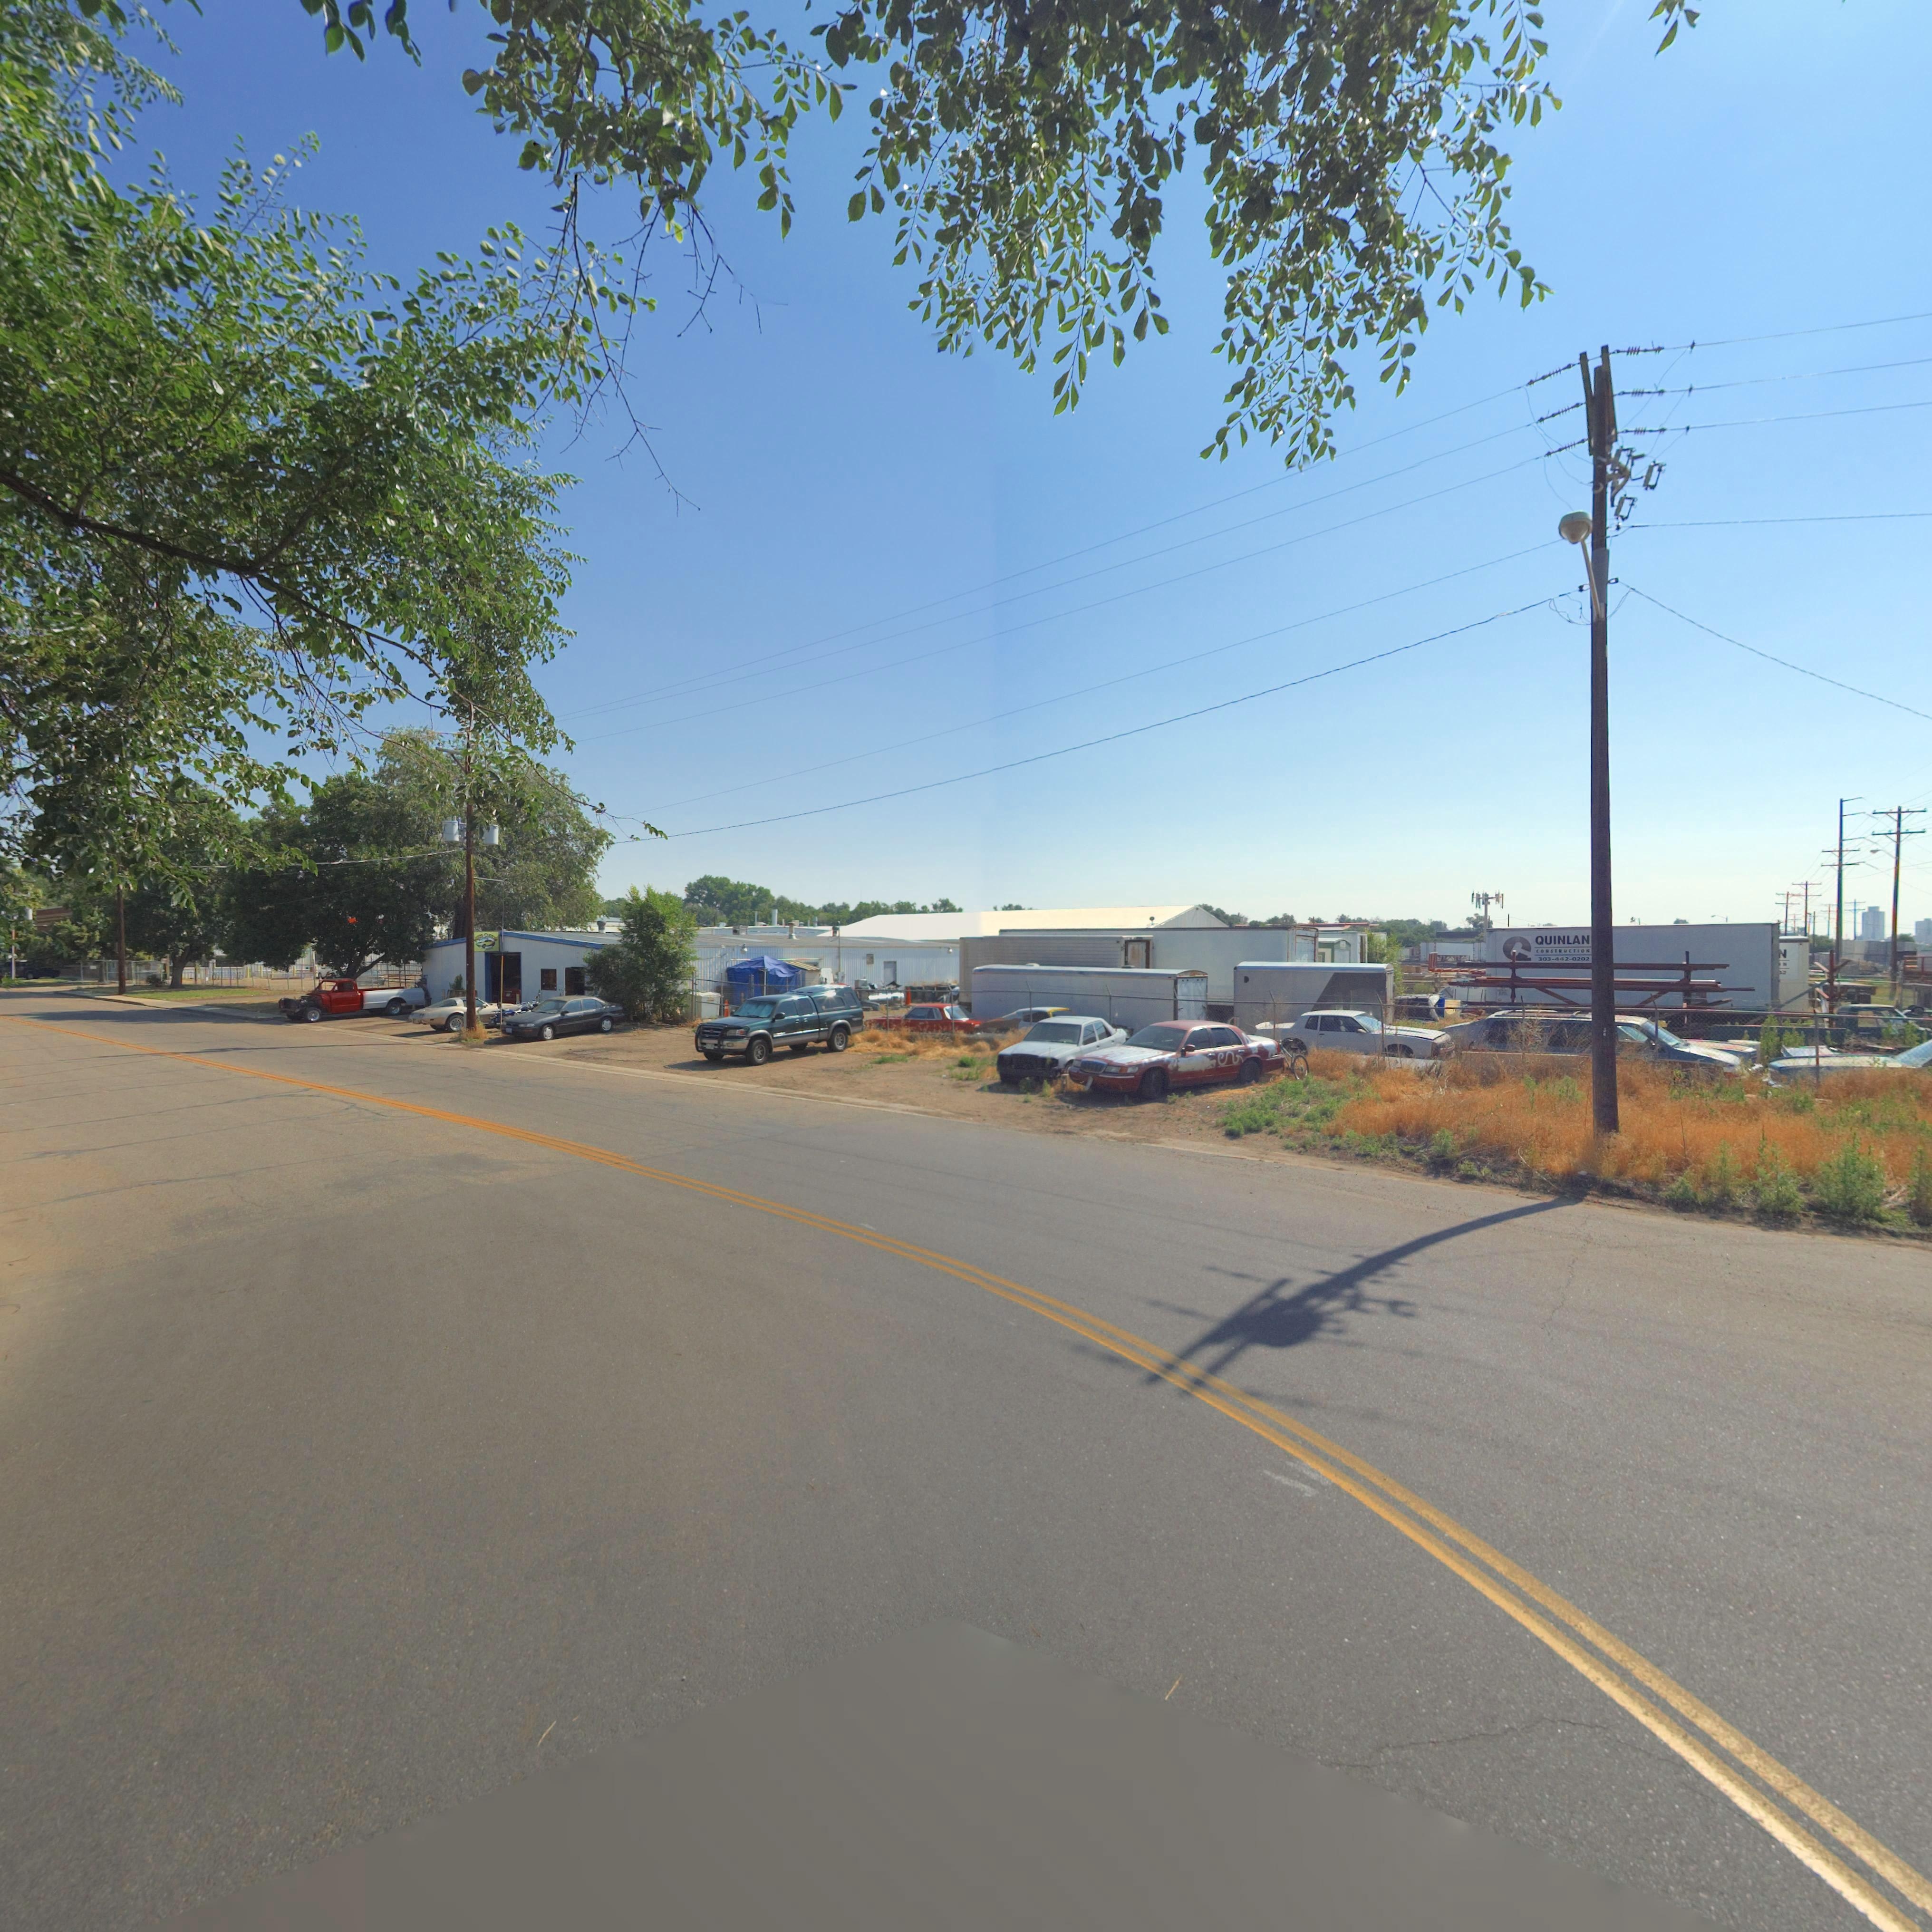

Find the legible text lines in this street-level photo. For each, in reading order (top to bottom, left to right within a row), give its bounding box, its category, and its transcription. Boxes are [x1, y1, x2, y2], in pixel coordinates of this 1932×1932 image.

[472, 932, 498, 943] BusinessName: *** O****